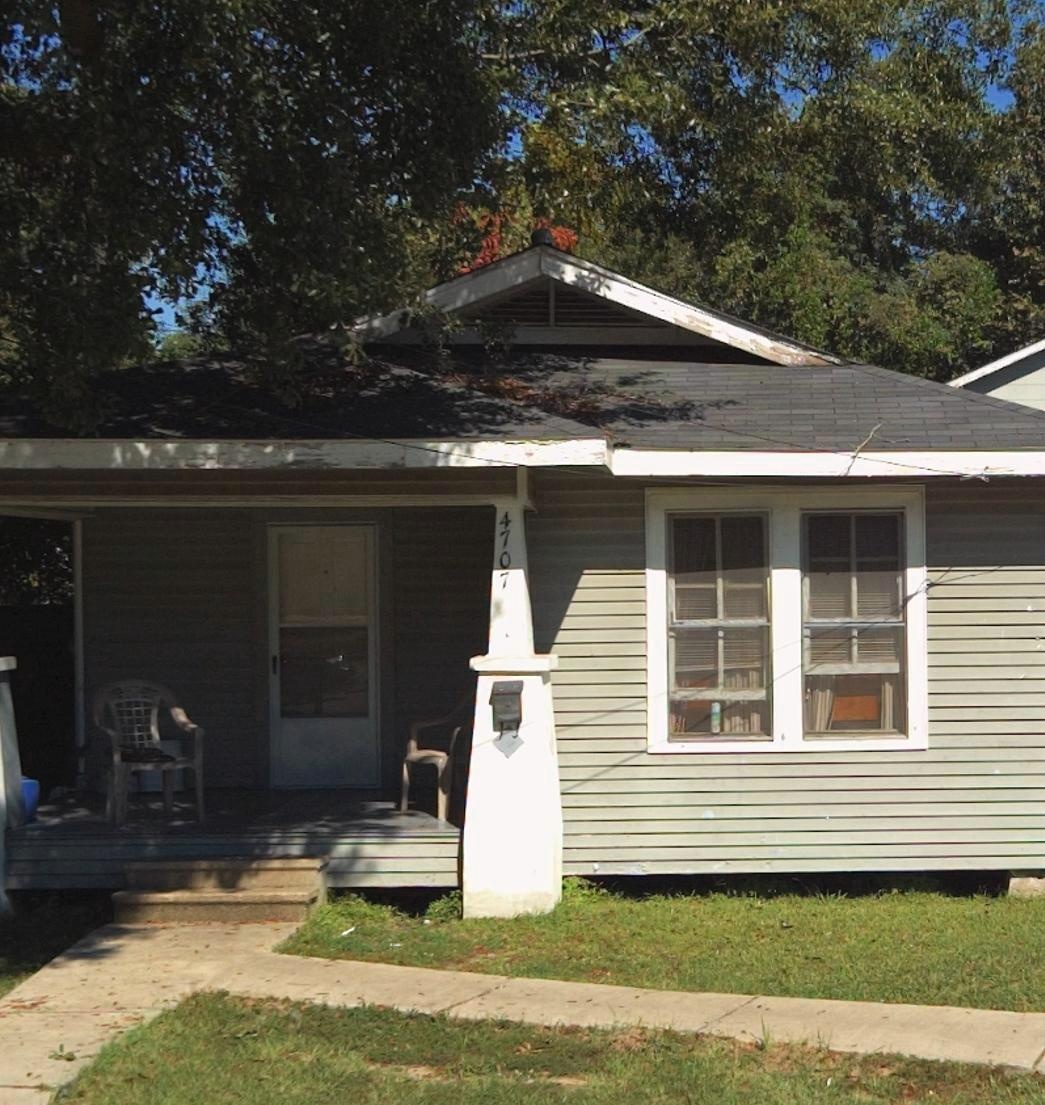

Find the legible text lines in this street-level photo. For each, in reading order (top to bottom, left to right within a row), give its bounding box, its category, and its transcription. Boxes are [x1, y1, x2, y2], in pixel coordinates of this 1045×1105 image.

[498, 510, 512, 590] StreetNumber: 4707